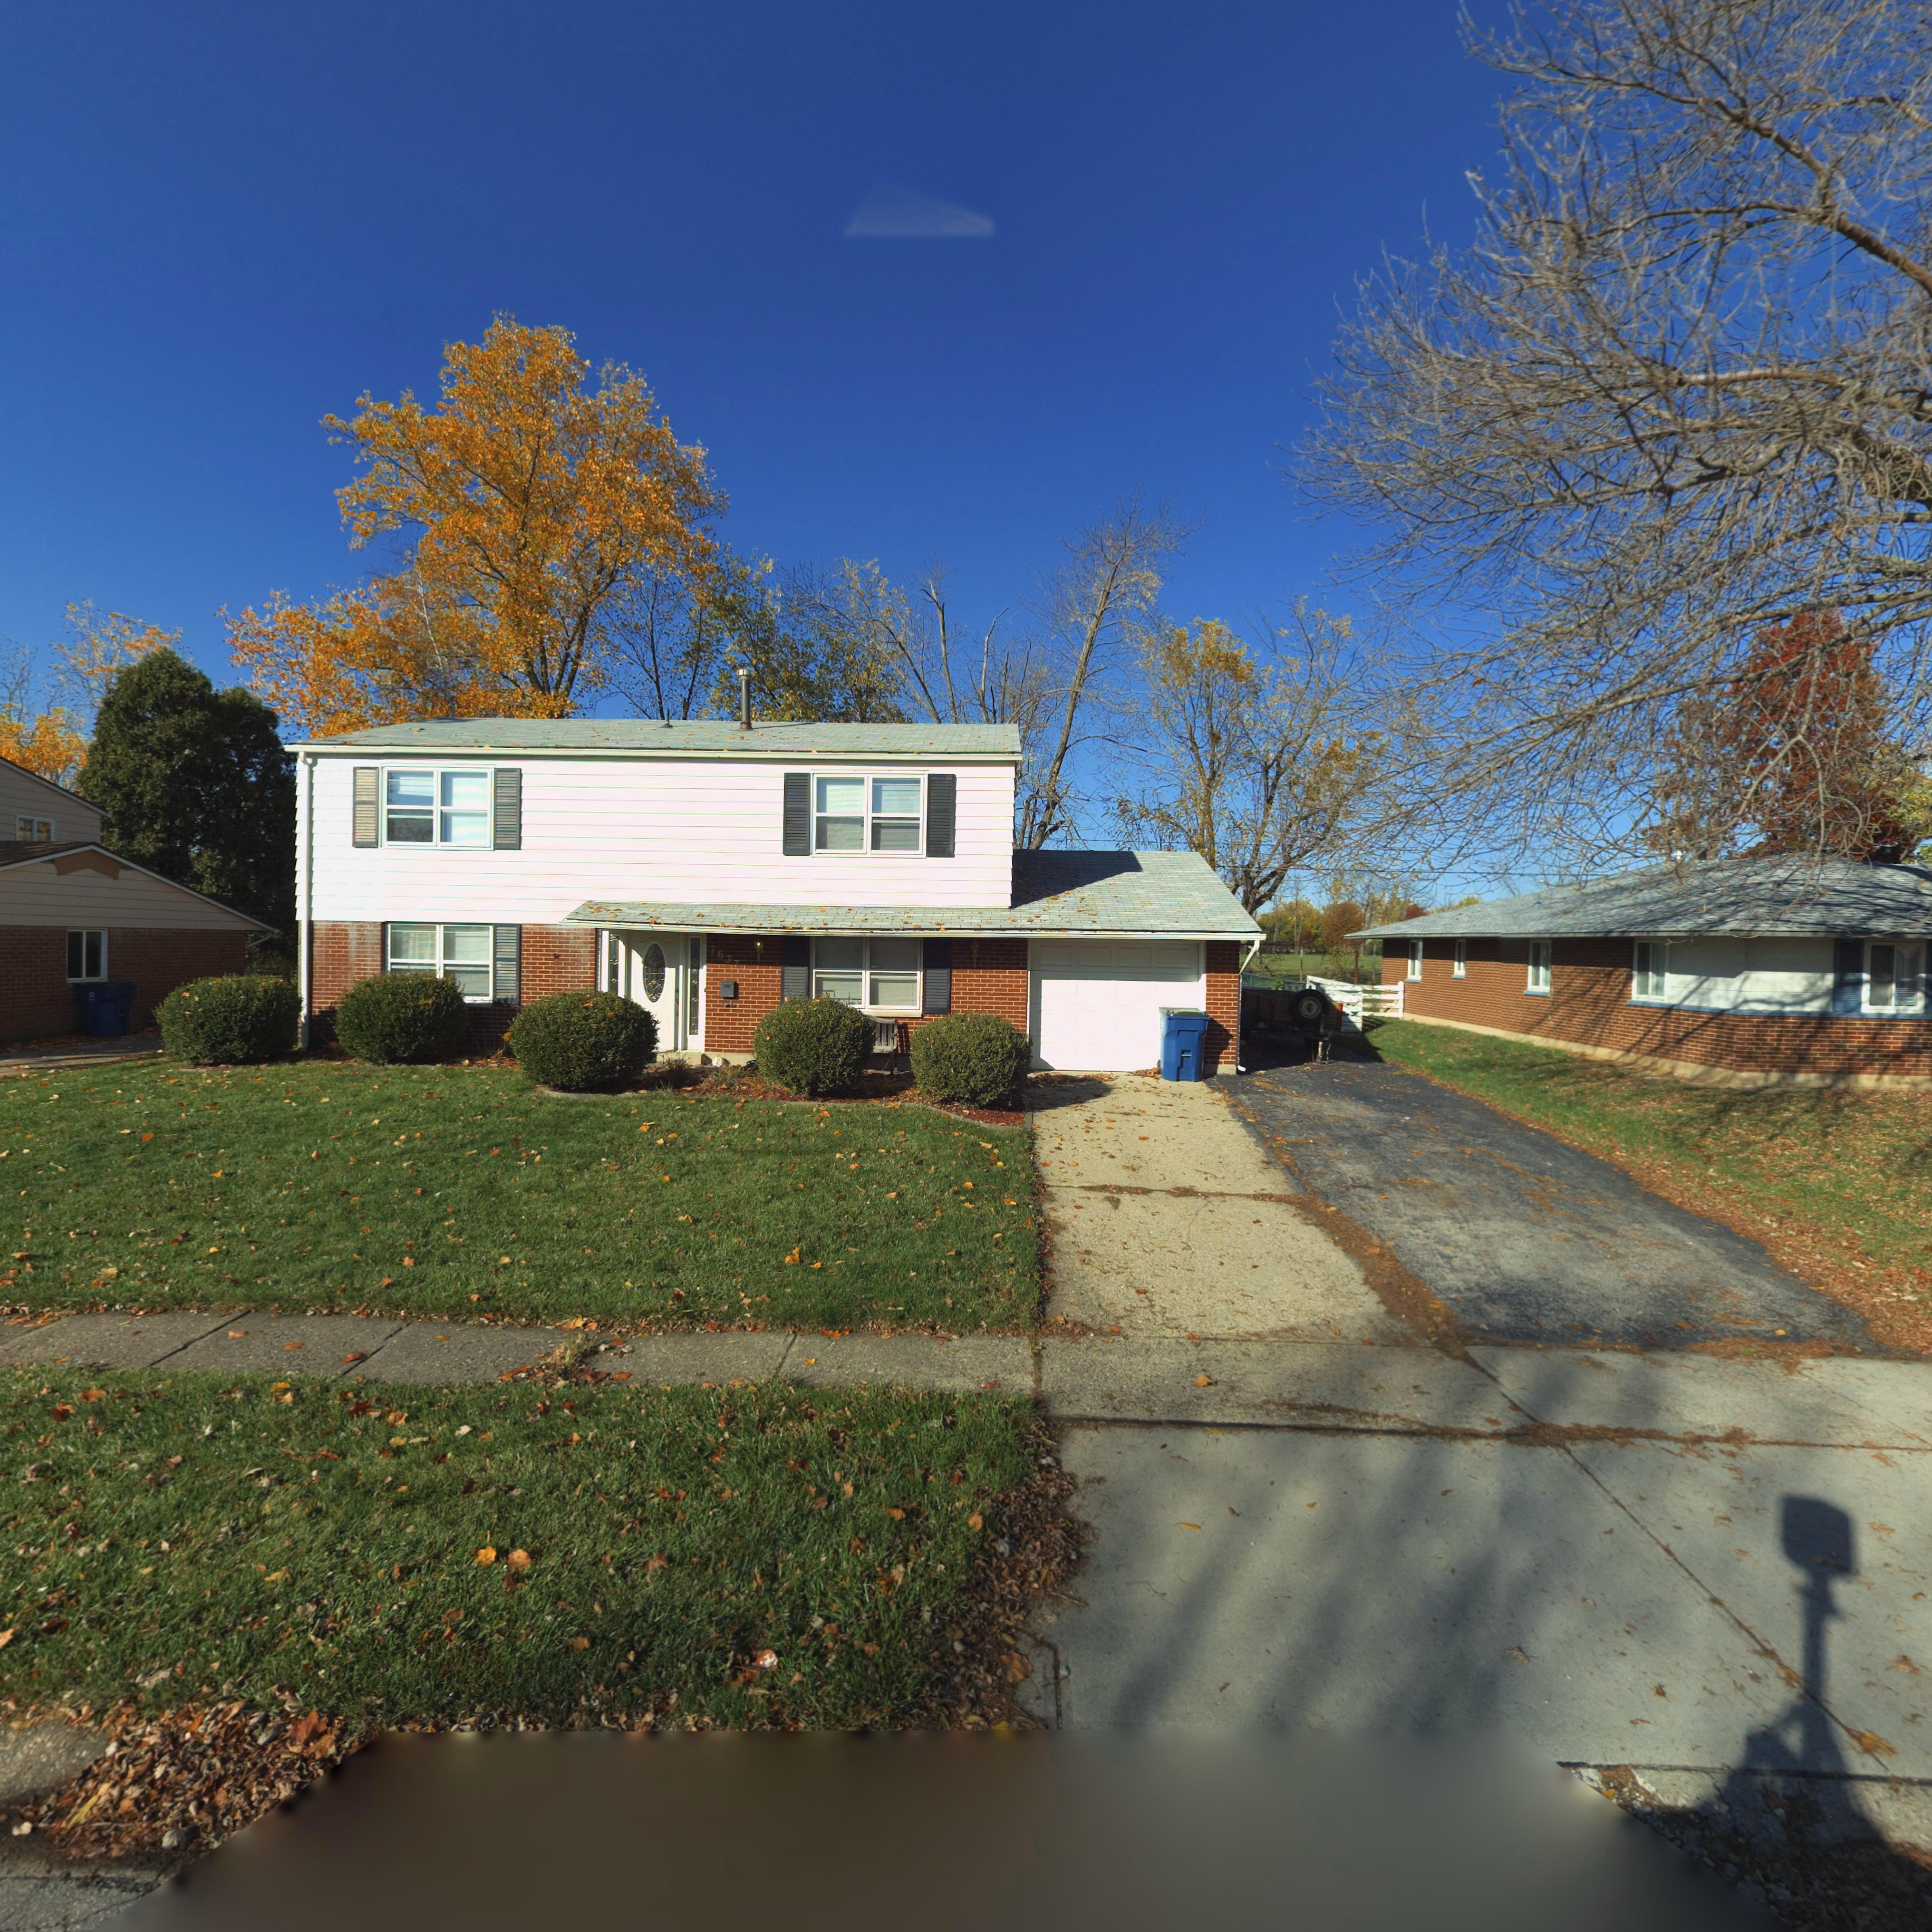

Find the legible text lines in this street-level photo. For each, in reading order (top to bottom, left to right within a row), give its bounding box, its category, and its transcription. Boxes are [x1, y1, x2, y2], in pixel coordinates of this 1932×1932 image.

[709, 945, 741, 969] StreetNumber: 7637